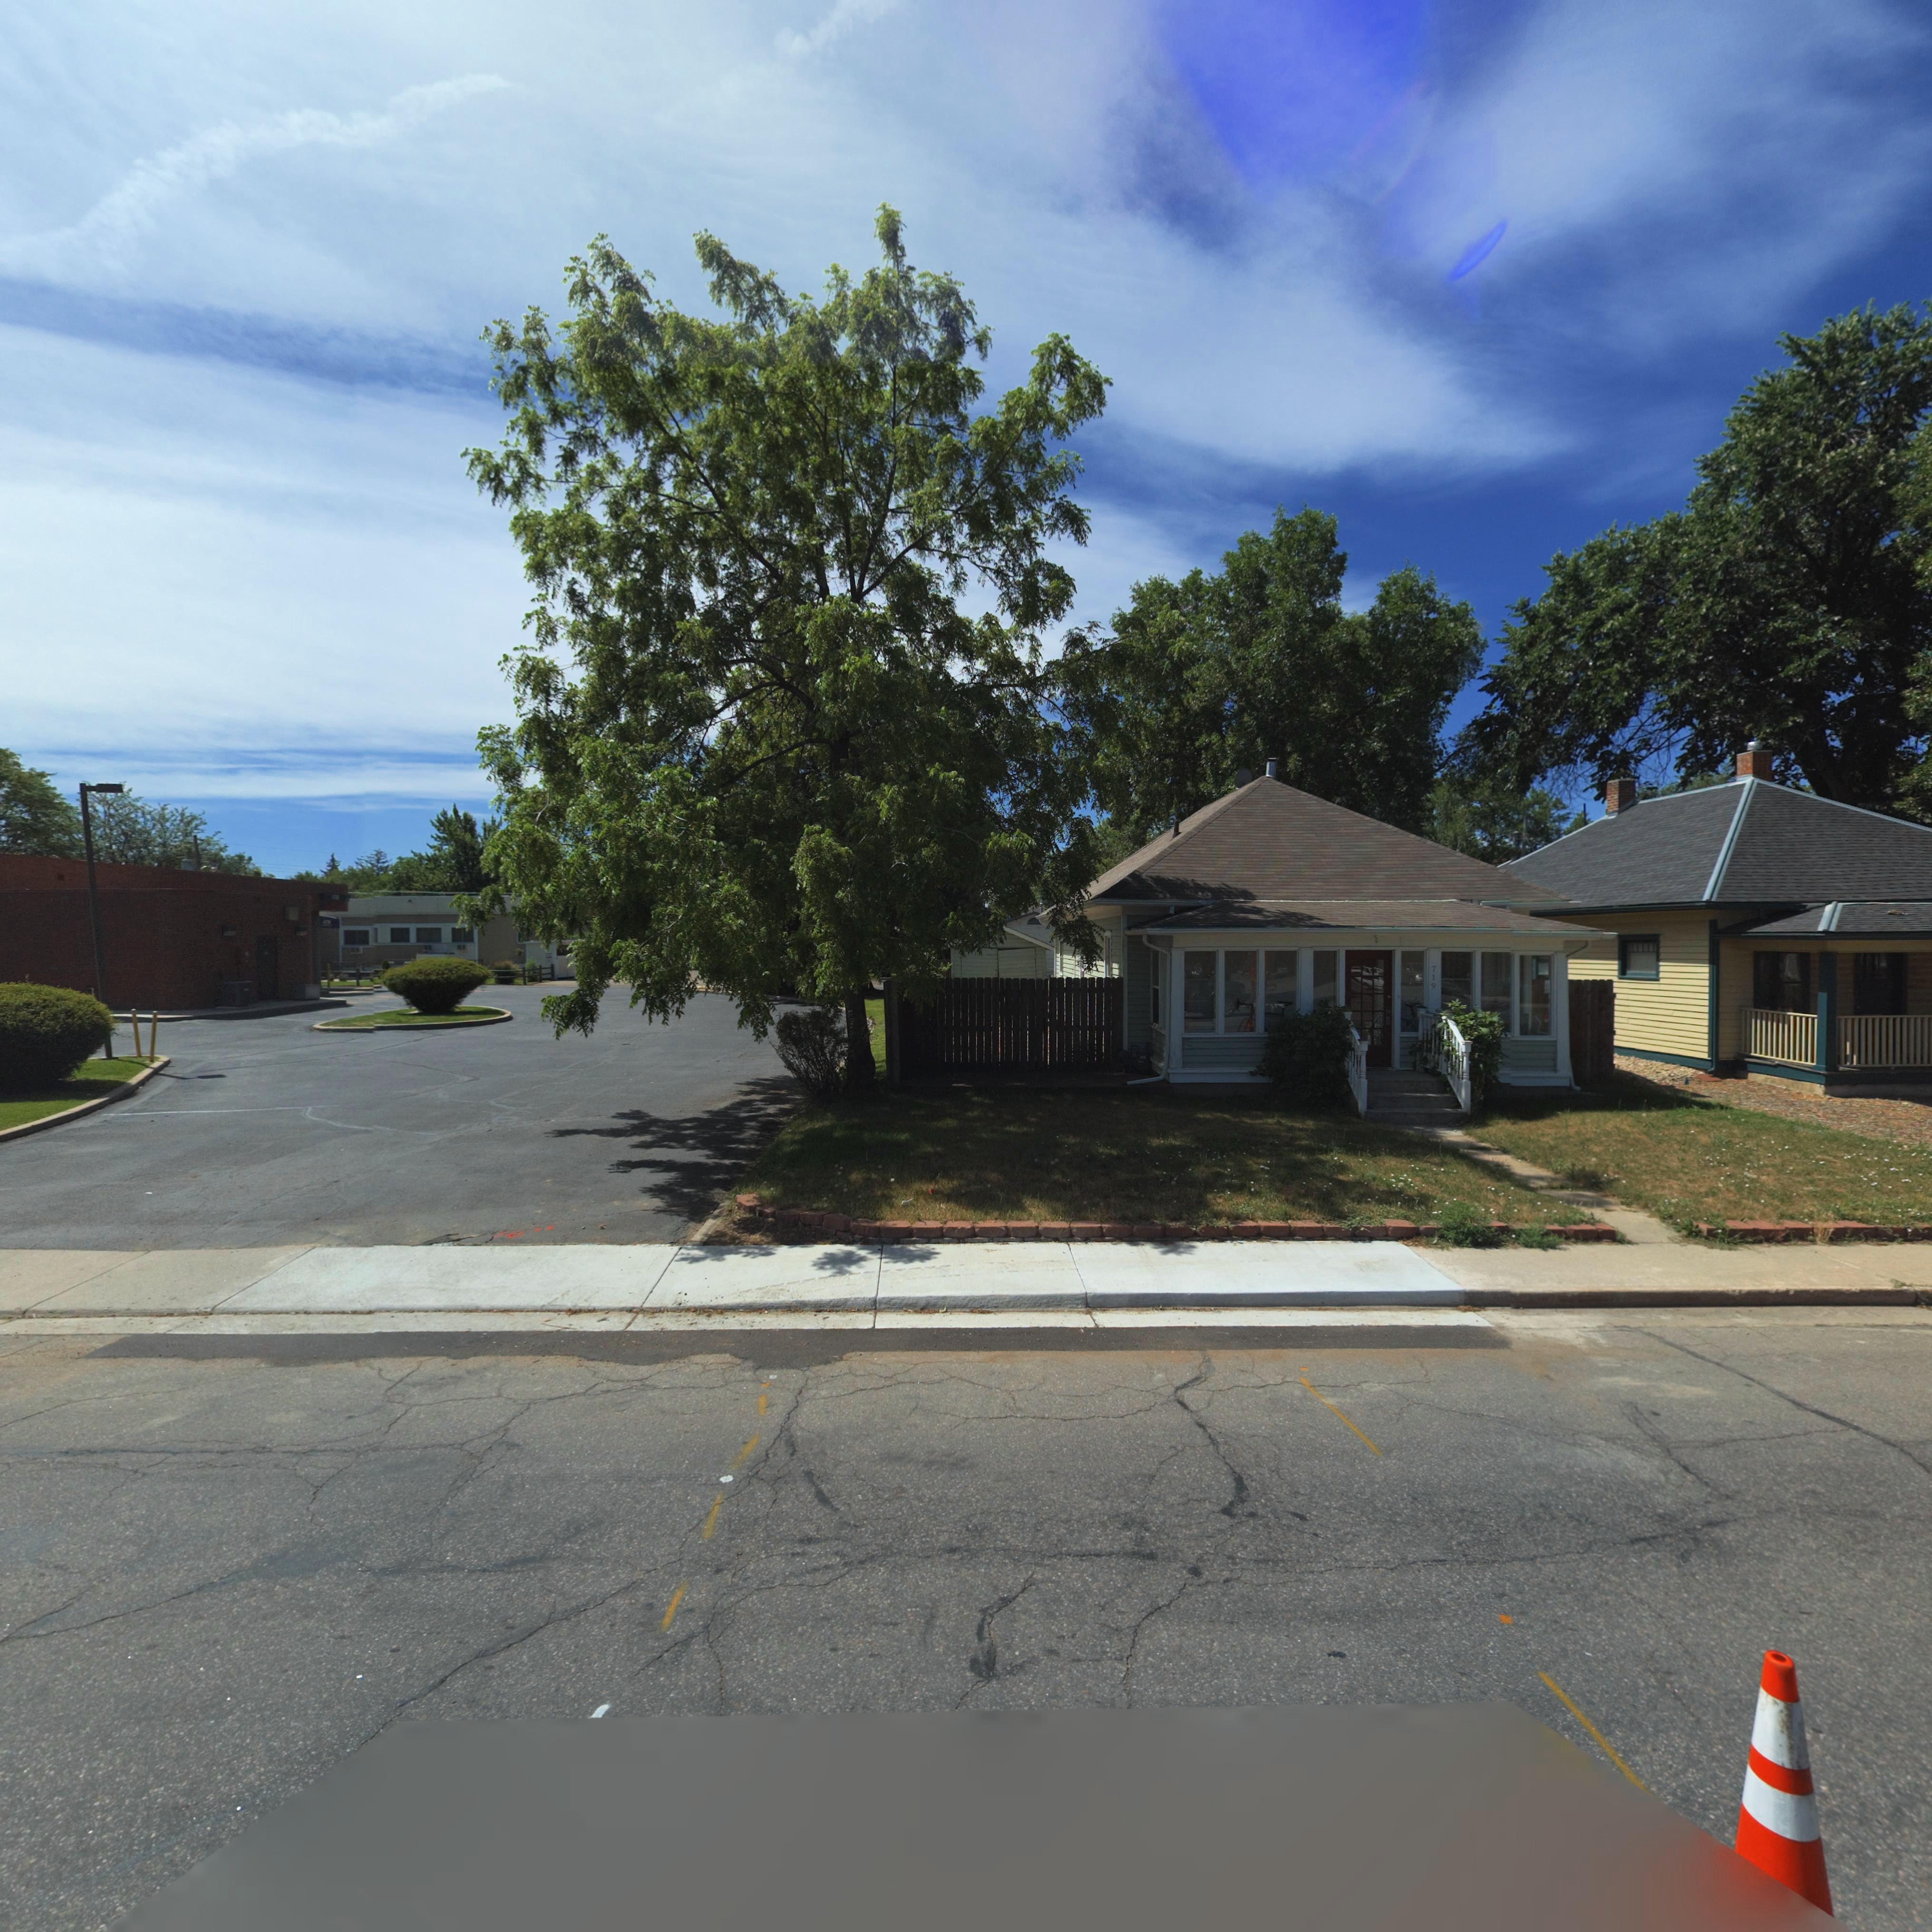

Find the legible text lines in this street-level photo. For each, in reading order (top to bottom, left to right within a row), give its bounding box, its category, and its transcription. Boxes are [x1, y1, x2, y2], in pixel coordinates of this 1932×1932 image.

[1430, 965, 1437, 990] StreetNumber: 719